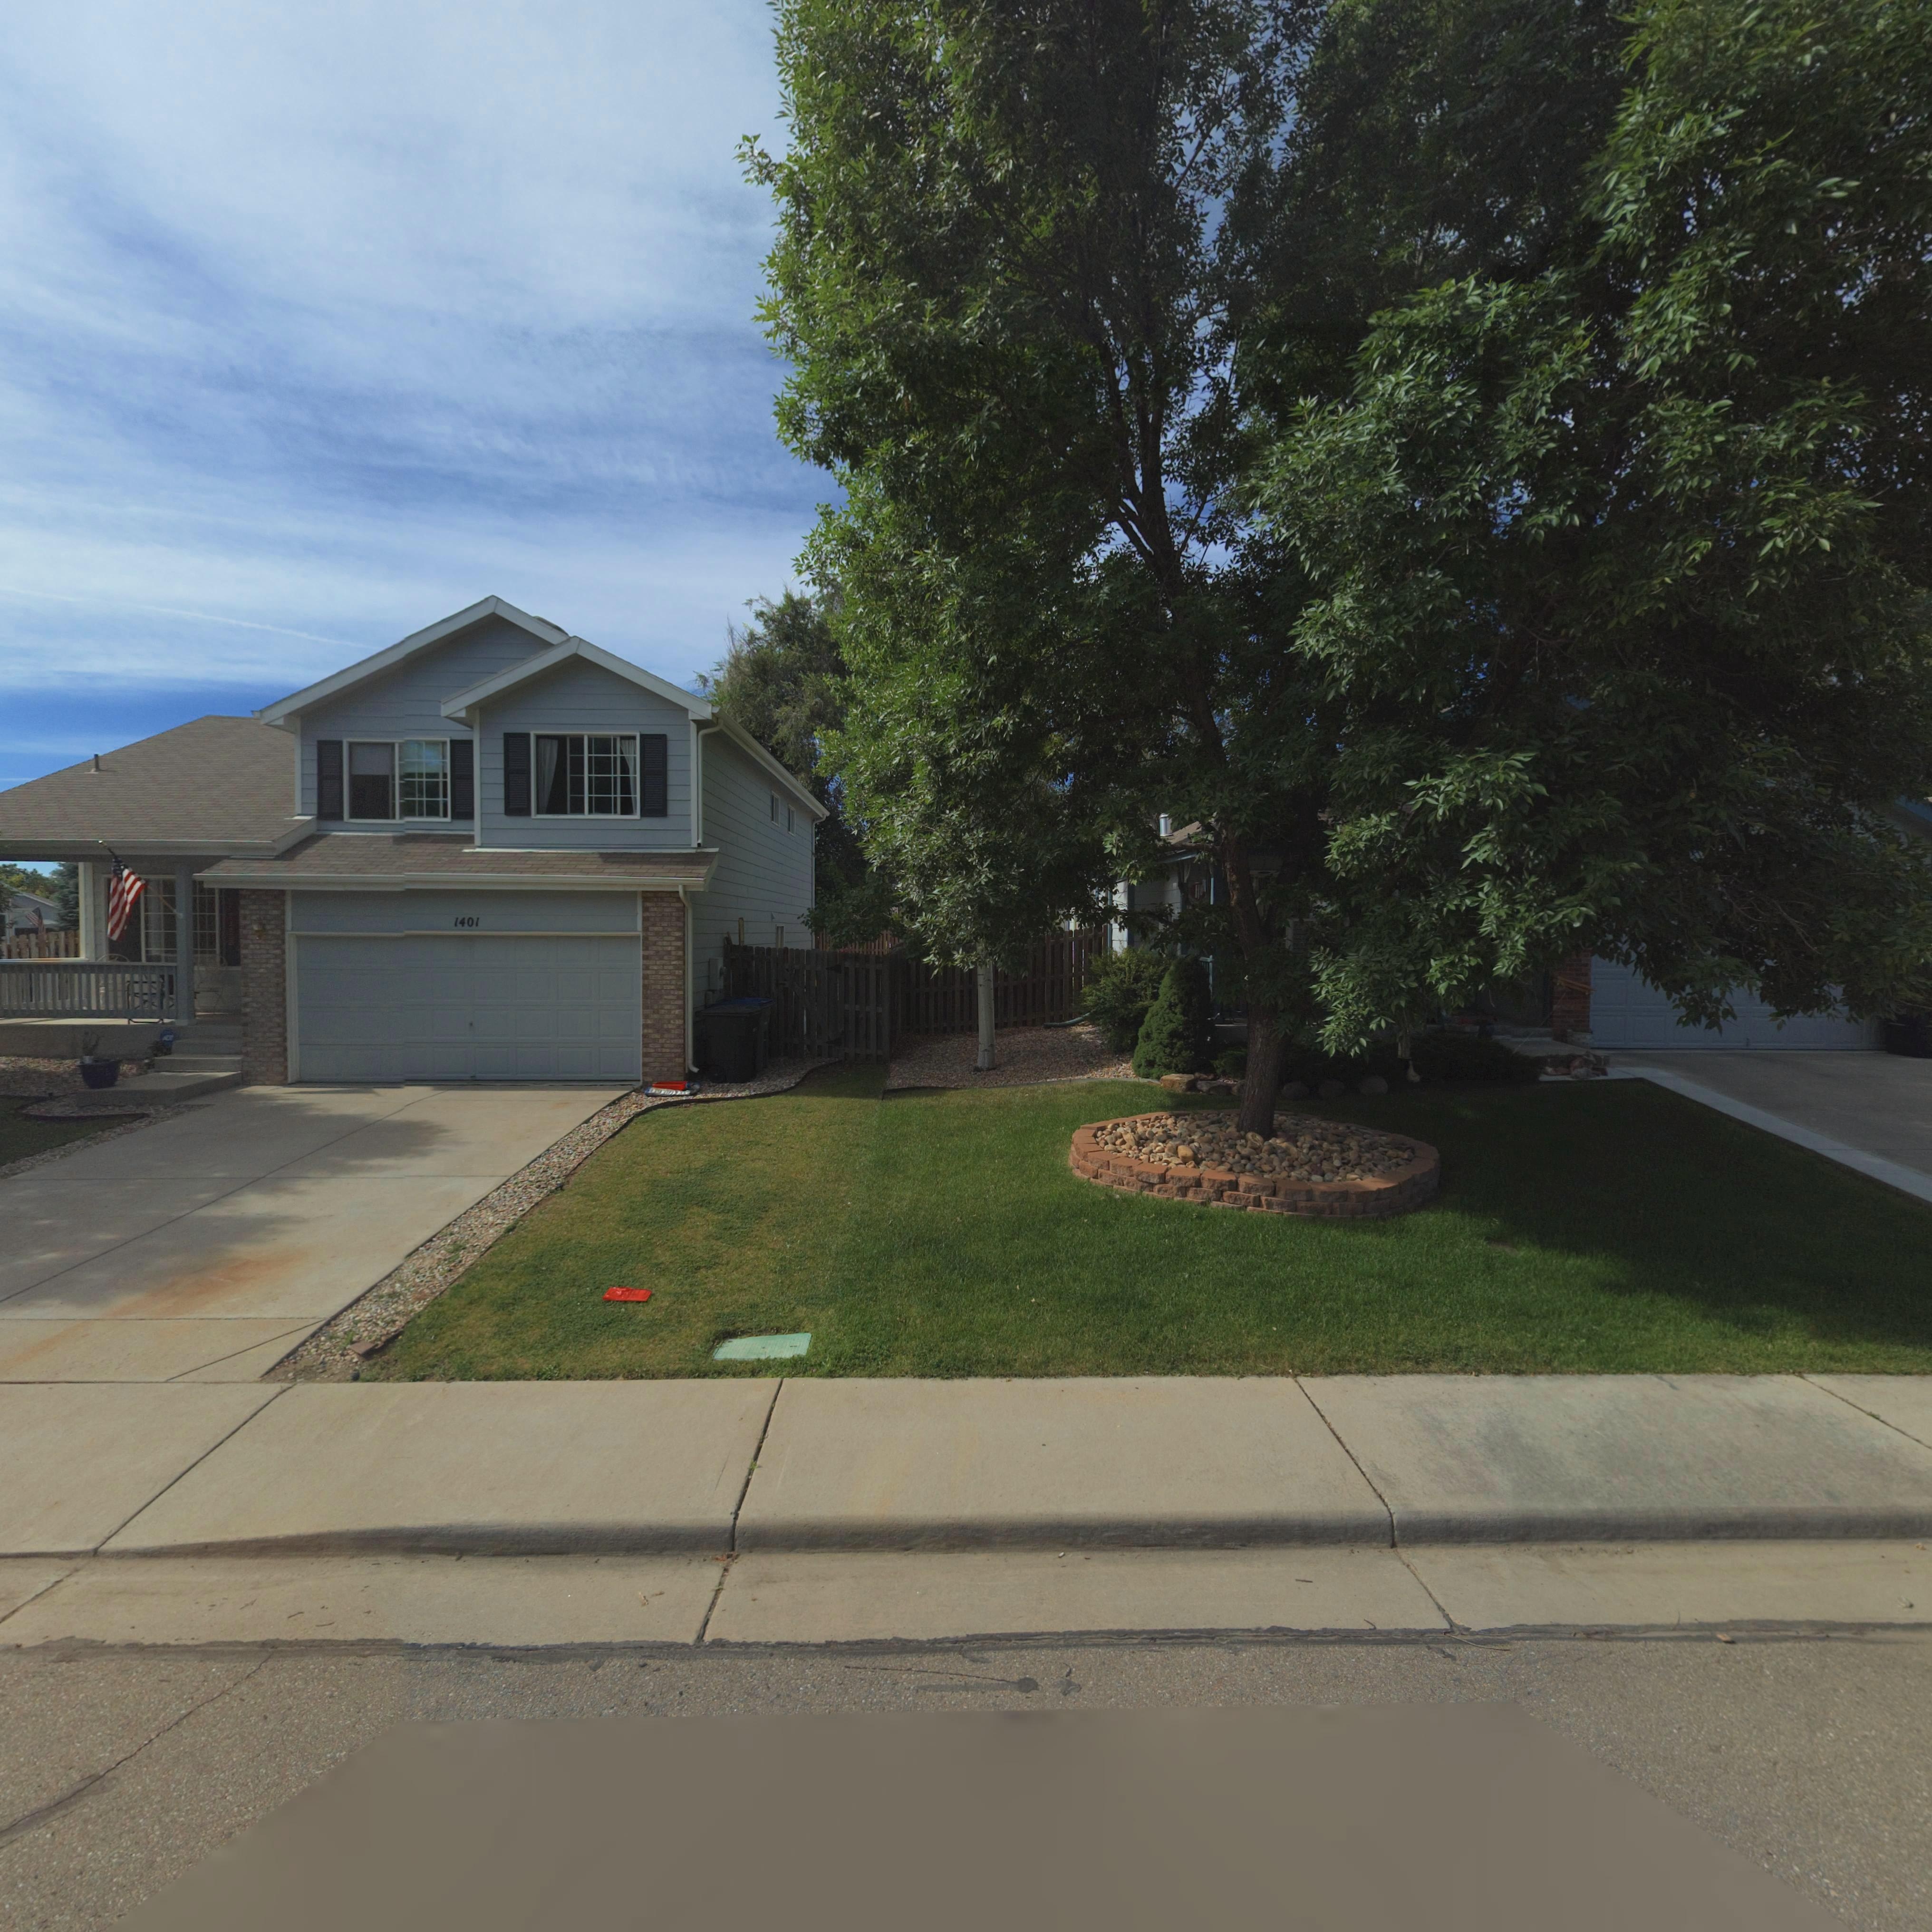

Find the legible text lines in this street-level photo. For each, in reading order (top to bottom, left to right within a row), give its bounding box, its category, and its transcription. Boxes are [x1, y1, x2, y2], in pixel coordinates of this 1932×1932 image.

[454, 916, 480, 928] StreetNumber: 1401